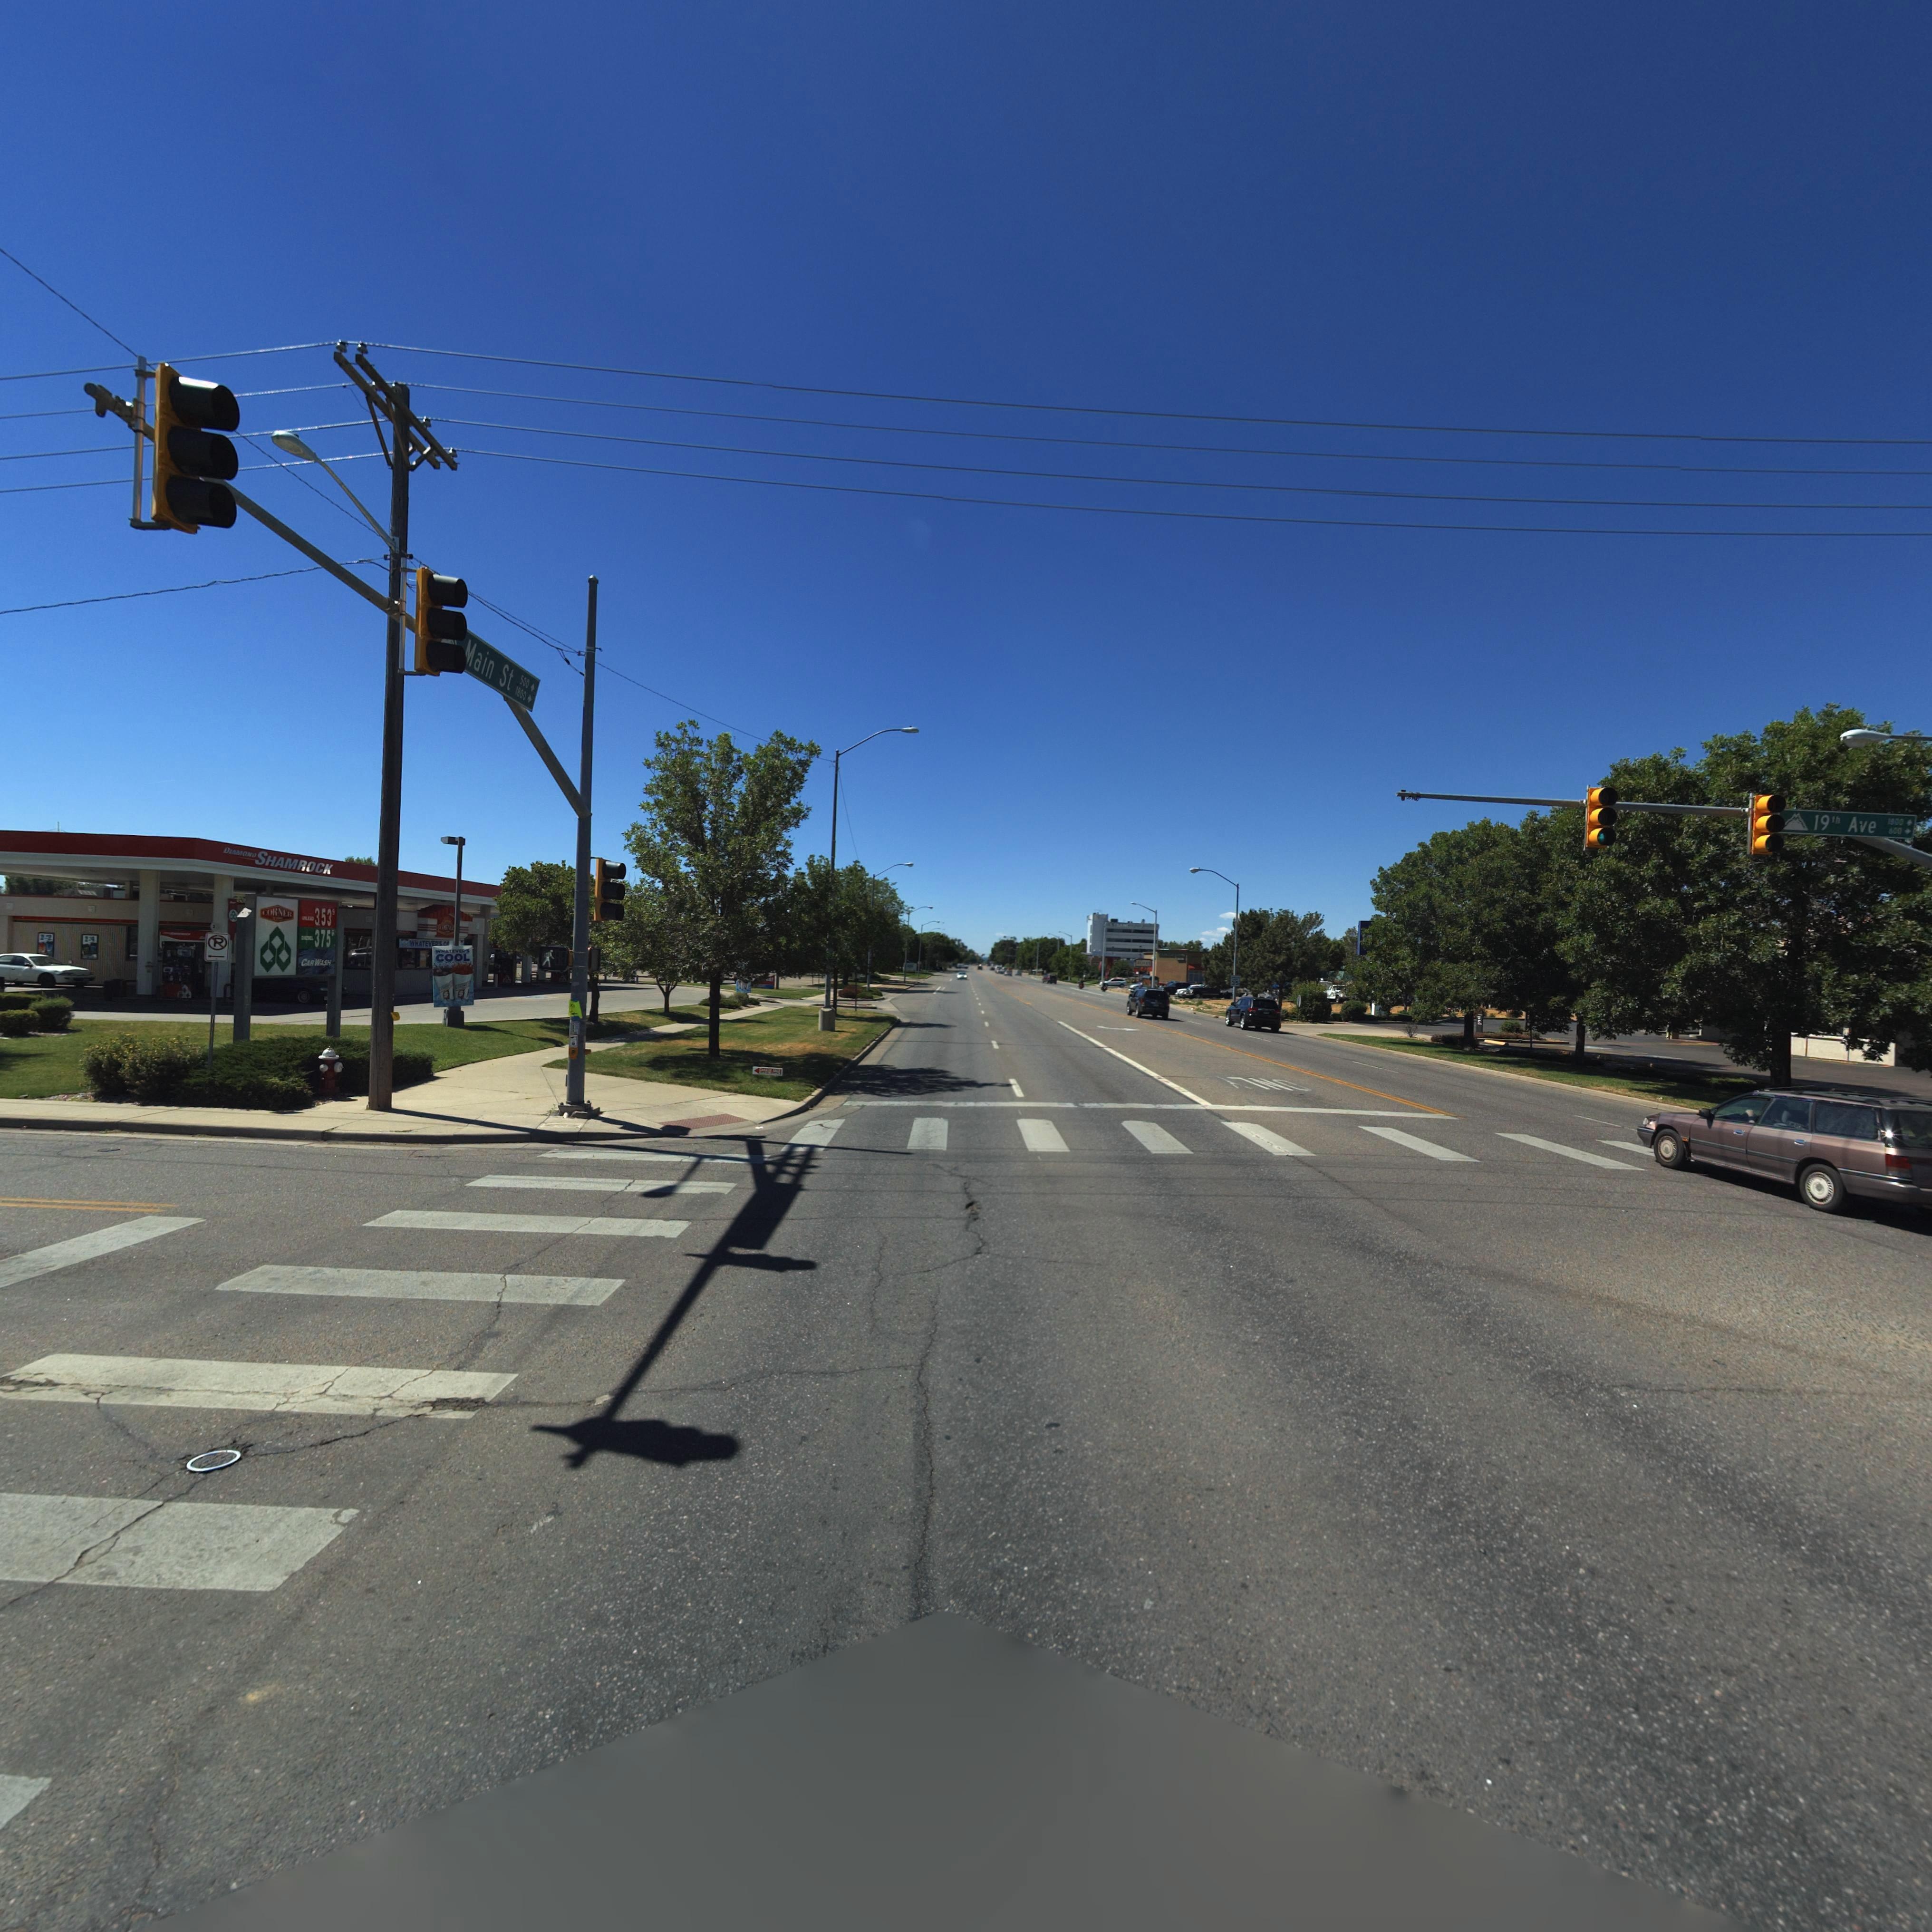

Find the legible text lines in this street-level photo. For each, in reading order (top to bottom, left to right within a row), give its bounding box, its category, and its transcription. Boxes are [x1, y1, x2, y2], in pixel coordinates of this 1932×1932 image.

[462, 638, 514, 692] StreetName: Main St
[518, 674, 530, 689] StreetNumberRange: 500
[514, 686, 532, 703] StreetNumberRange: 1800->
[1813, 813, 1877, 834] StreetName: 19th Ave
[1887, 817, 1904, 826] StreetNumberRange: 1*00
[1888, 826, 1912, 835] StreetNumberRange: 600->
[222, 846, 257, 858] BusinessName: DIAMOND
[254, 850, 334, 875] BusinessName: SHAMROCK
[261, 907, 292, 917] BusinessName: CORNER
[439, 922, 454, 931] BusinessName: CORNER
[1109, 922, 1129, 927] BusinessName: 1S*BAN*